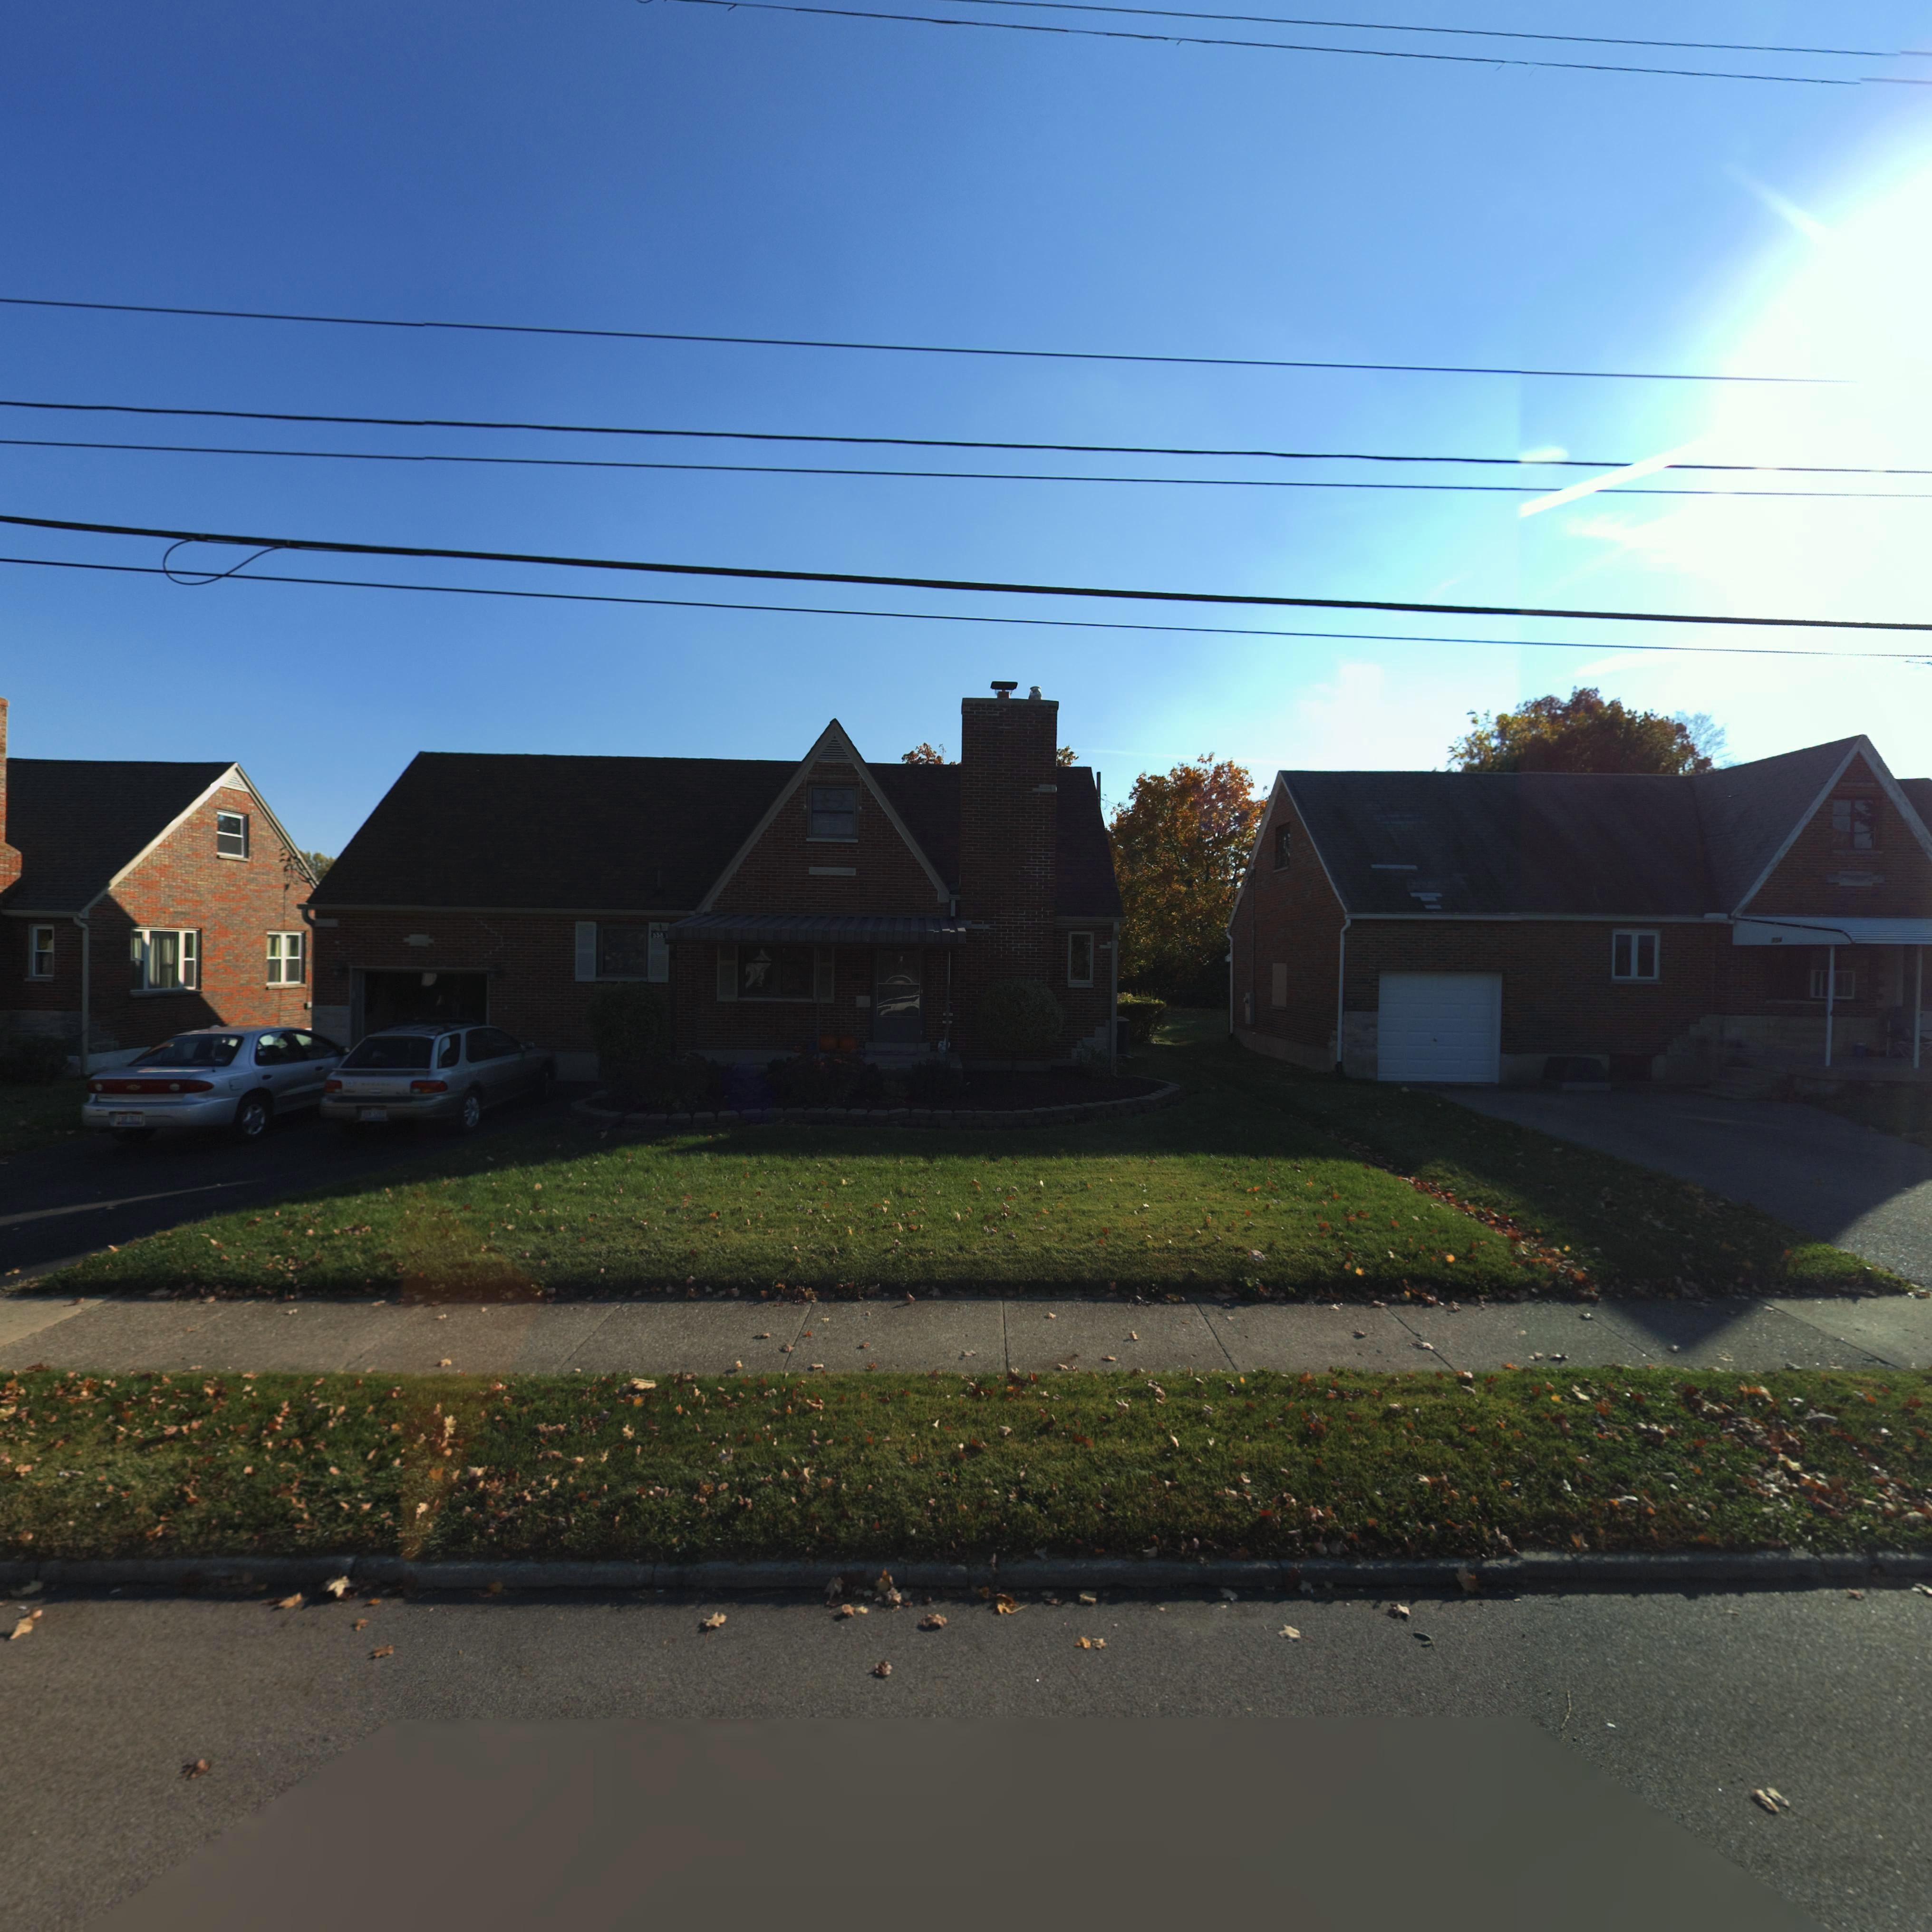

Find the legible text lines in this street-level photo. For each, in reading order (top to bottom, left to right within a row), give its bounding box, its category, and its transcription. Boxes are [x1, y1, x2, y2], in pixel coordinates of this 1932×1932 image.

[652, 932, 664, 939] StreetNumber: 558